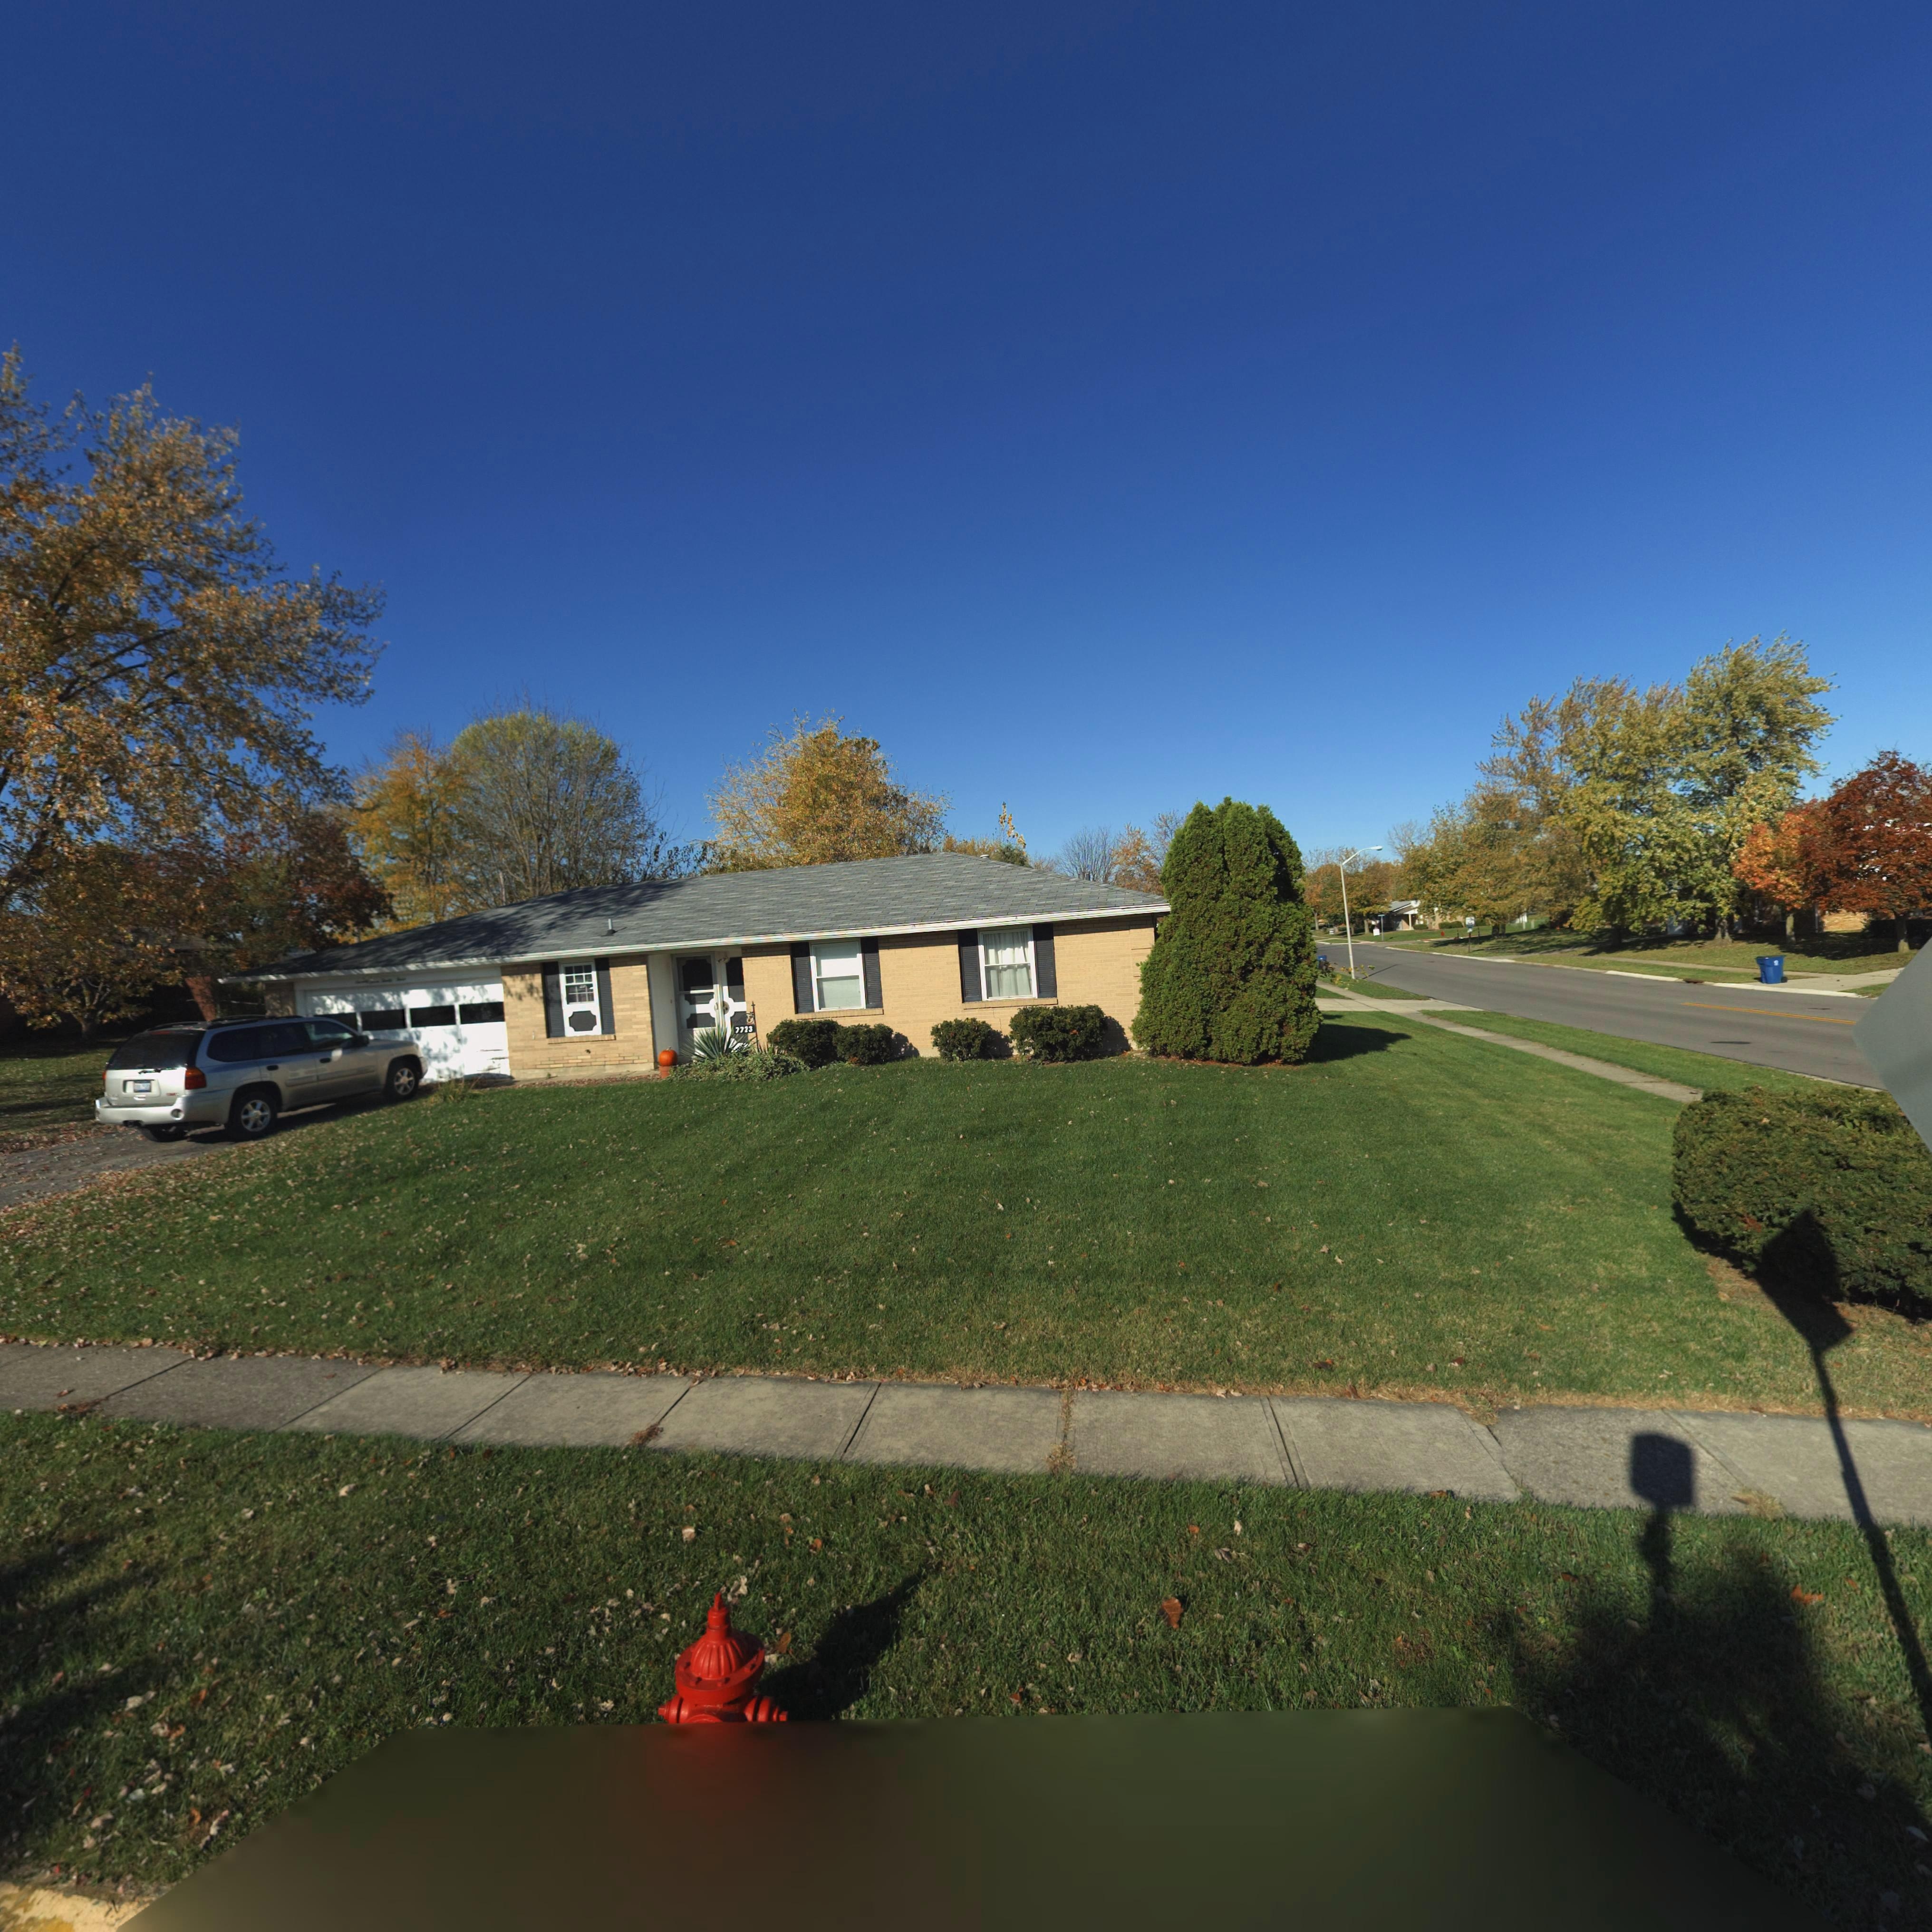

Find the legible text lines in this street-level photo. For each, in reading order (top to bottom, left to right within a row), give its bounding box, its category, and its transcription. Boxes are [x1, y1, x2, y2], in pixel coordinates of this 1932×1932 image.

[734, 1024, 754, 1034] StreetNumber: 7723